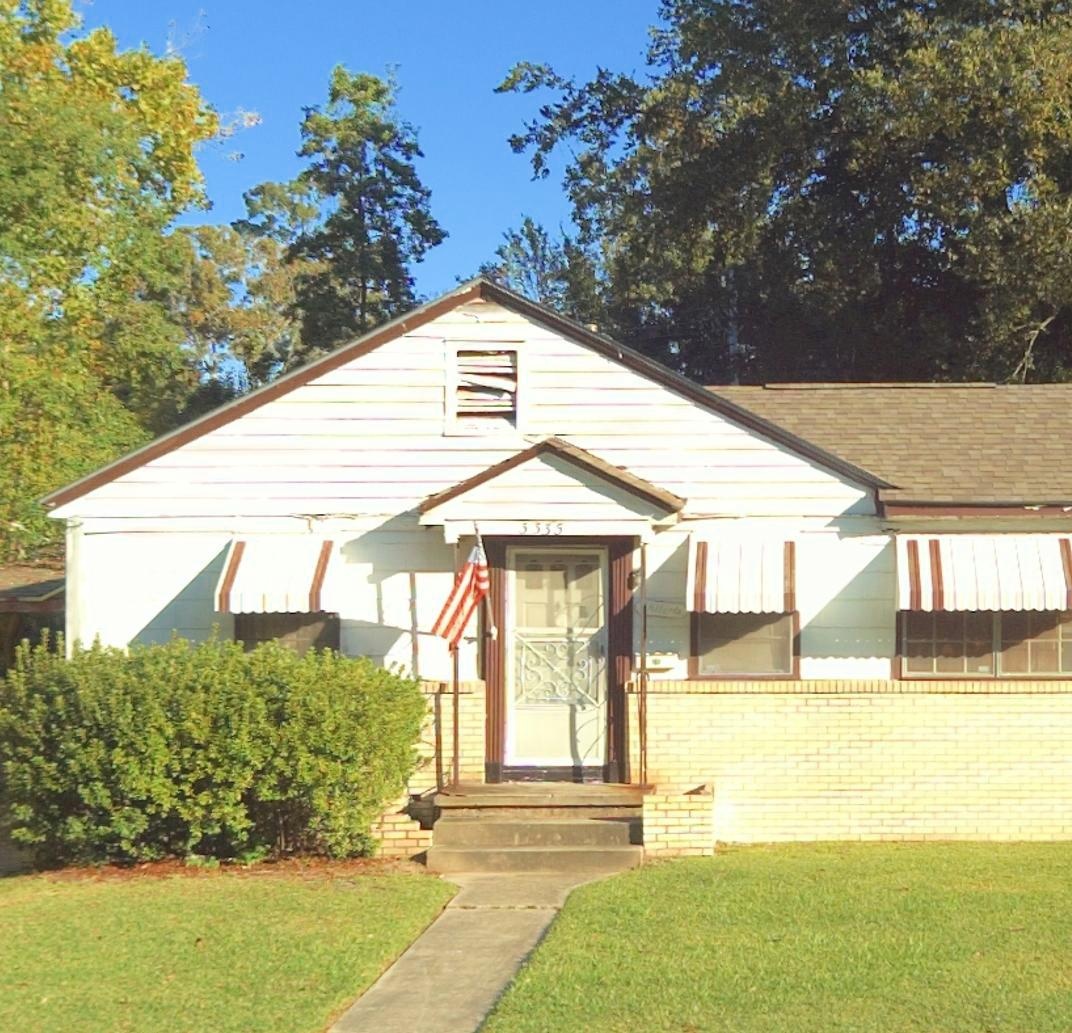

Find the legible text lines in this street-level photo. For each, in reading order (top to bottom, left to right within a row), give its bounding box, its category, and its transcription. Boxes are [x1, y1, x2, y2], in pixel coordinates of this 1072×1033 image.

[518, 522, 564, 537] StreetNumber: 5535